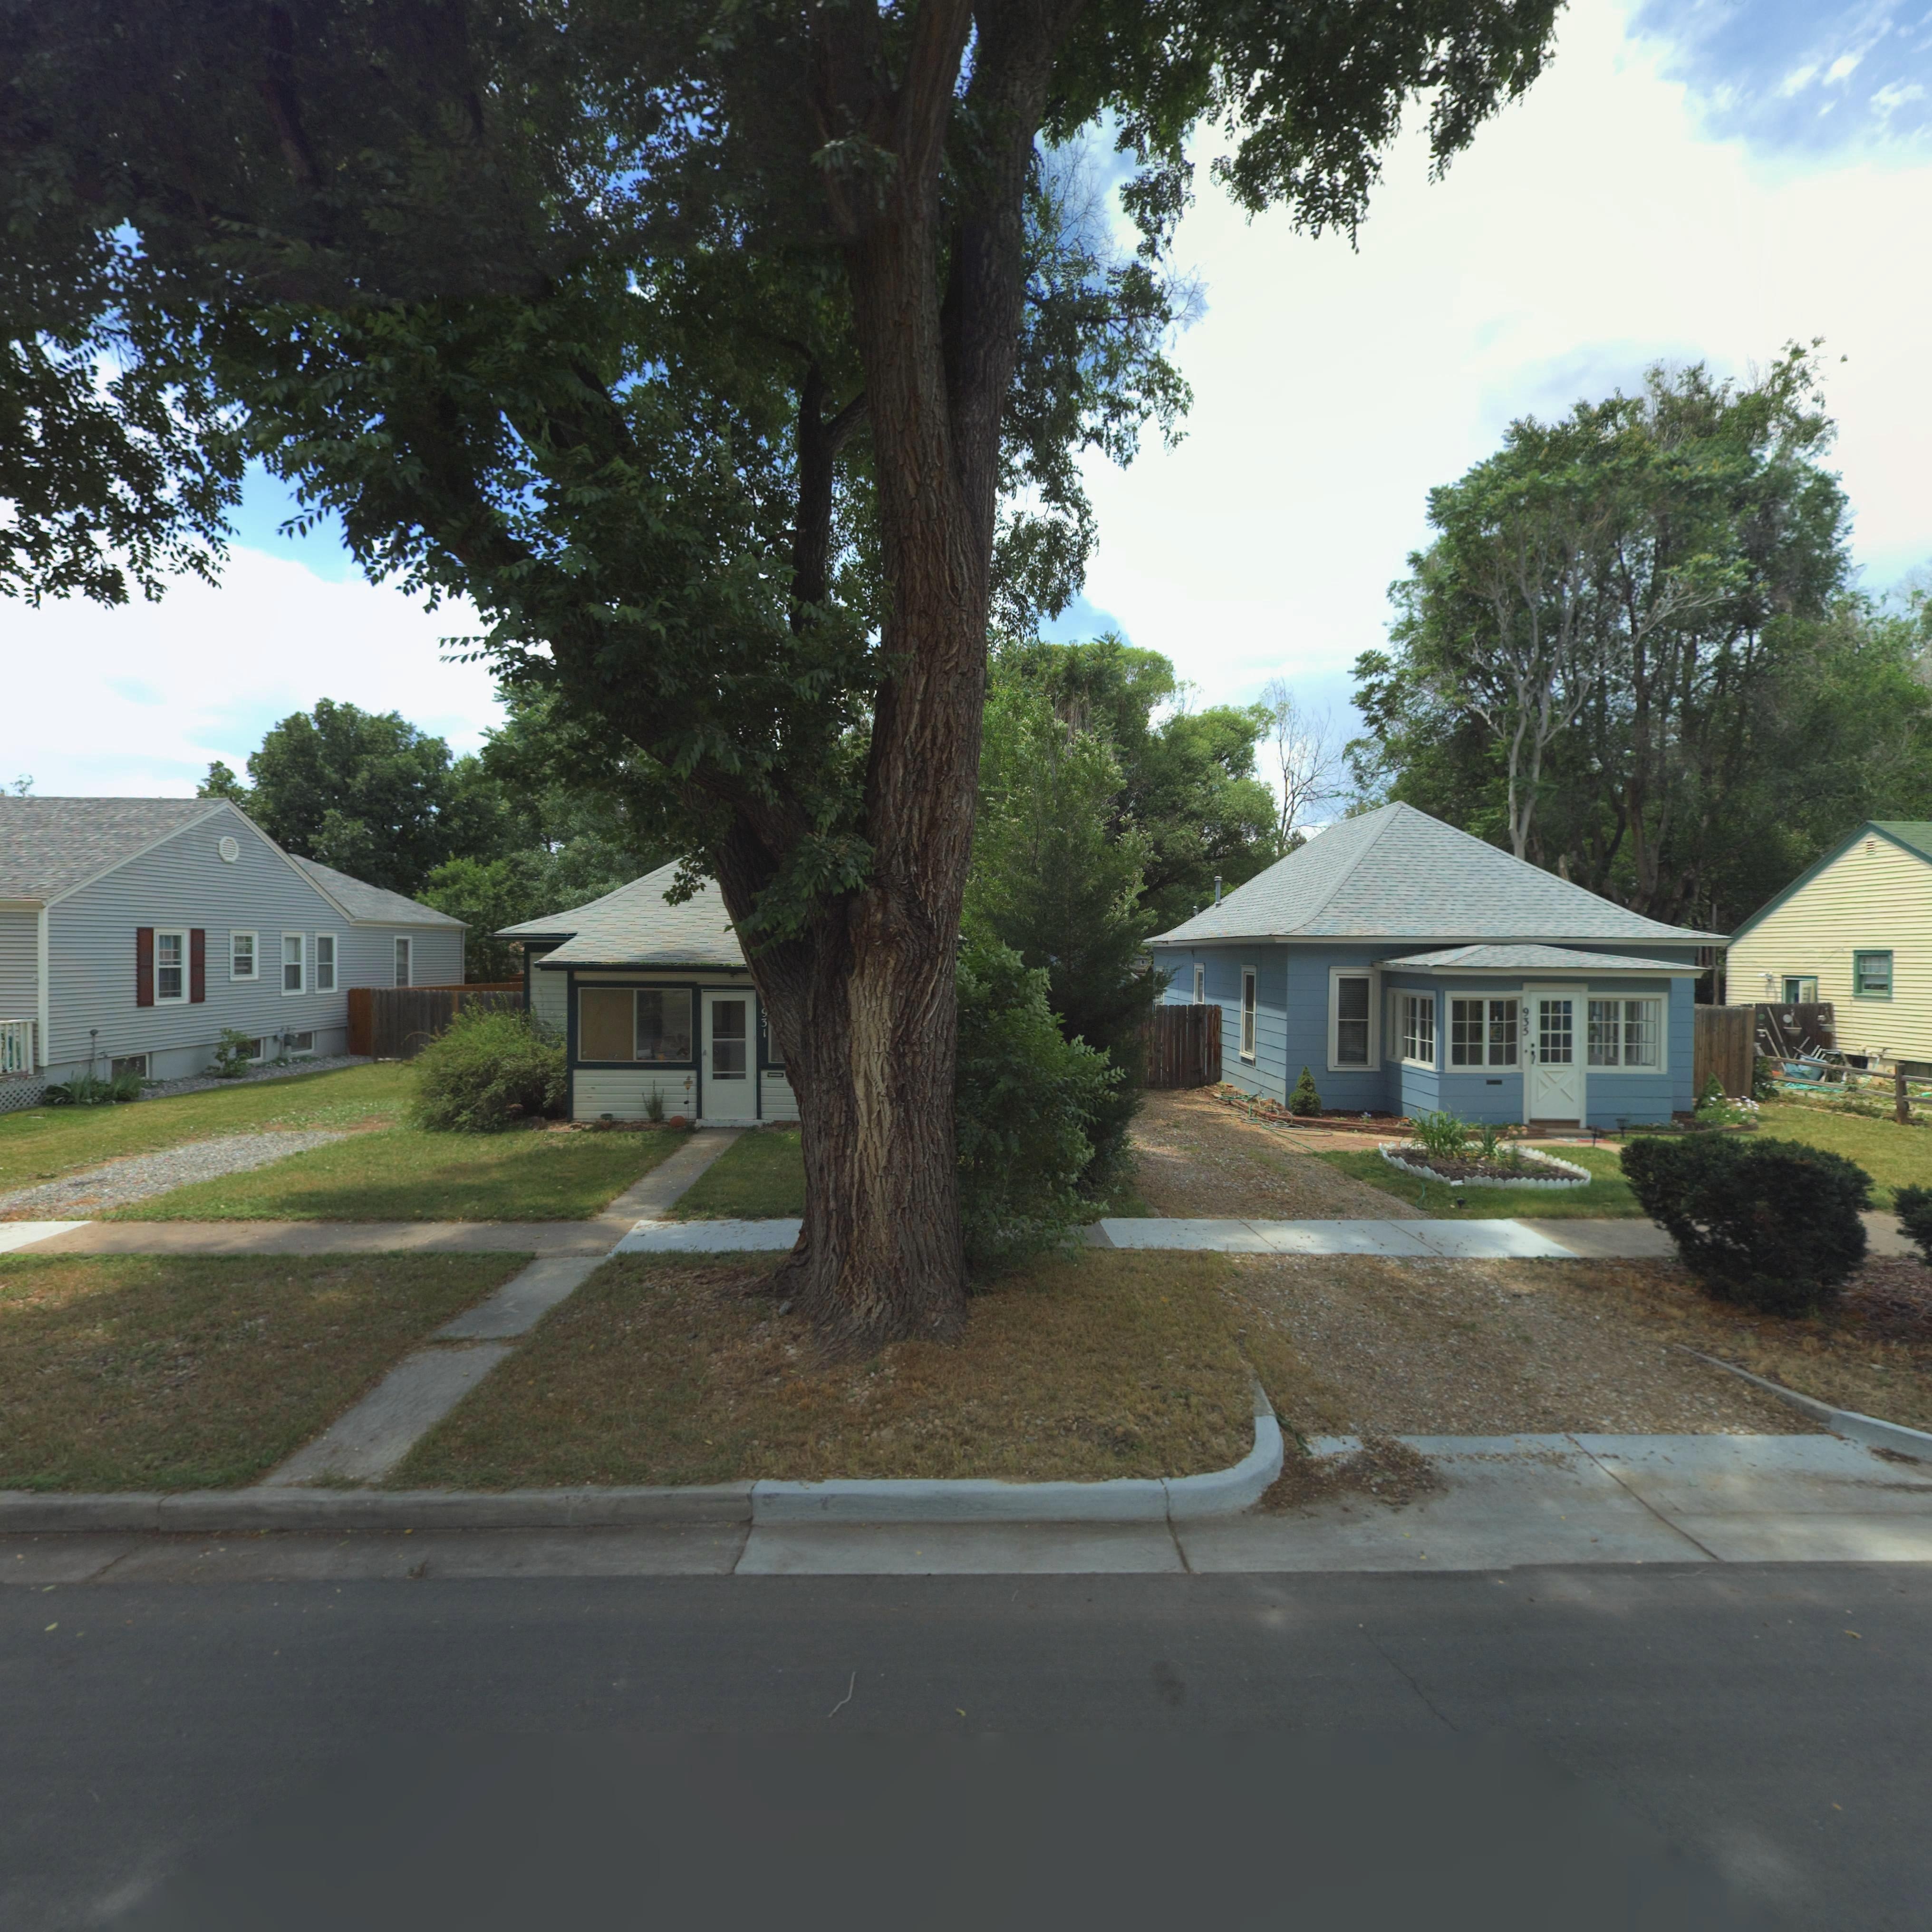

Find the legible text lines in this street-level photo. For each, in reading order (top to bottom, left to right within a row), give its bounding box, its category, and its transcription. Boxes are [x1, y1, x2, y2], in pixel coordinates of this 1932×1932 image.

[761, 1006, 767, 1038] StreetNumber: 931
[1521, 1006, 1529, 1036] StreetNumber: 935